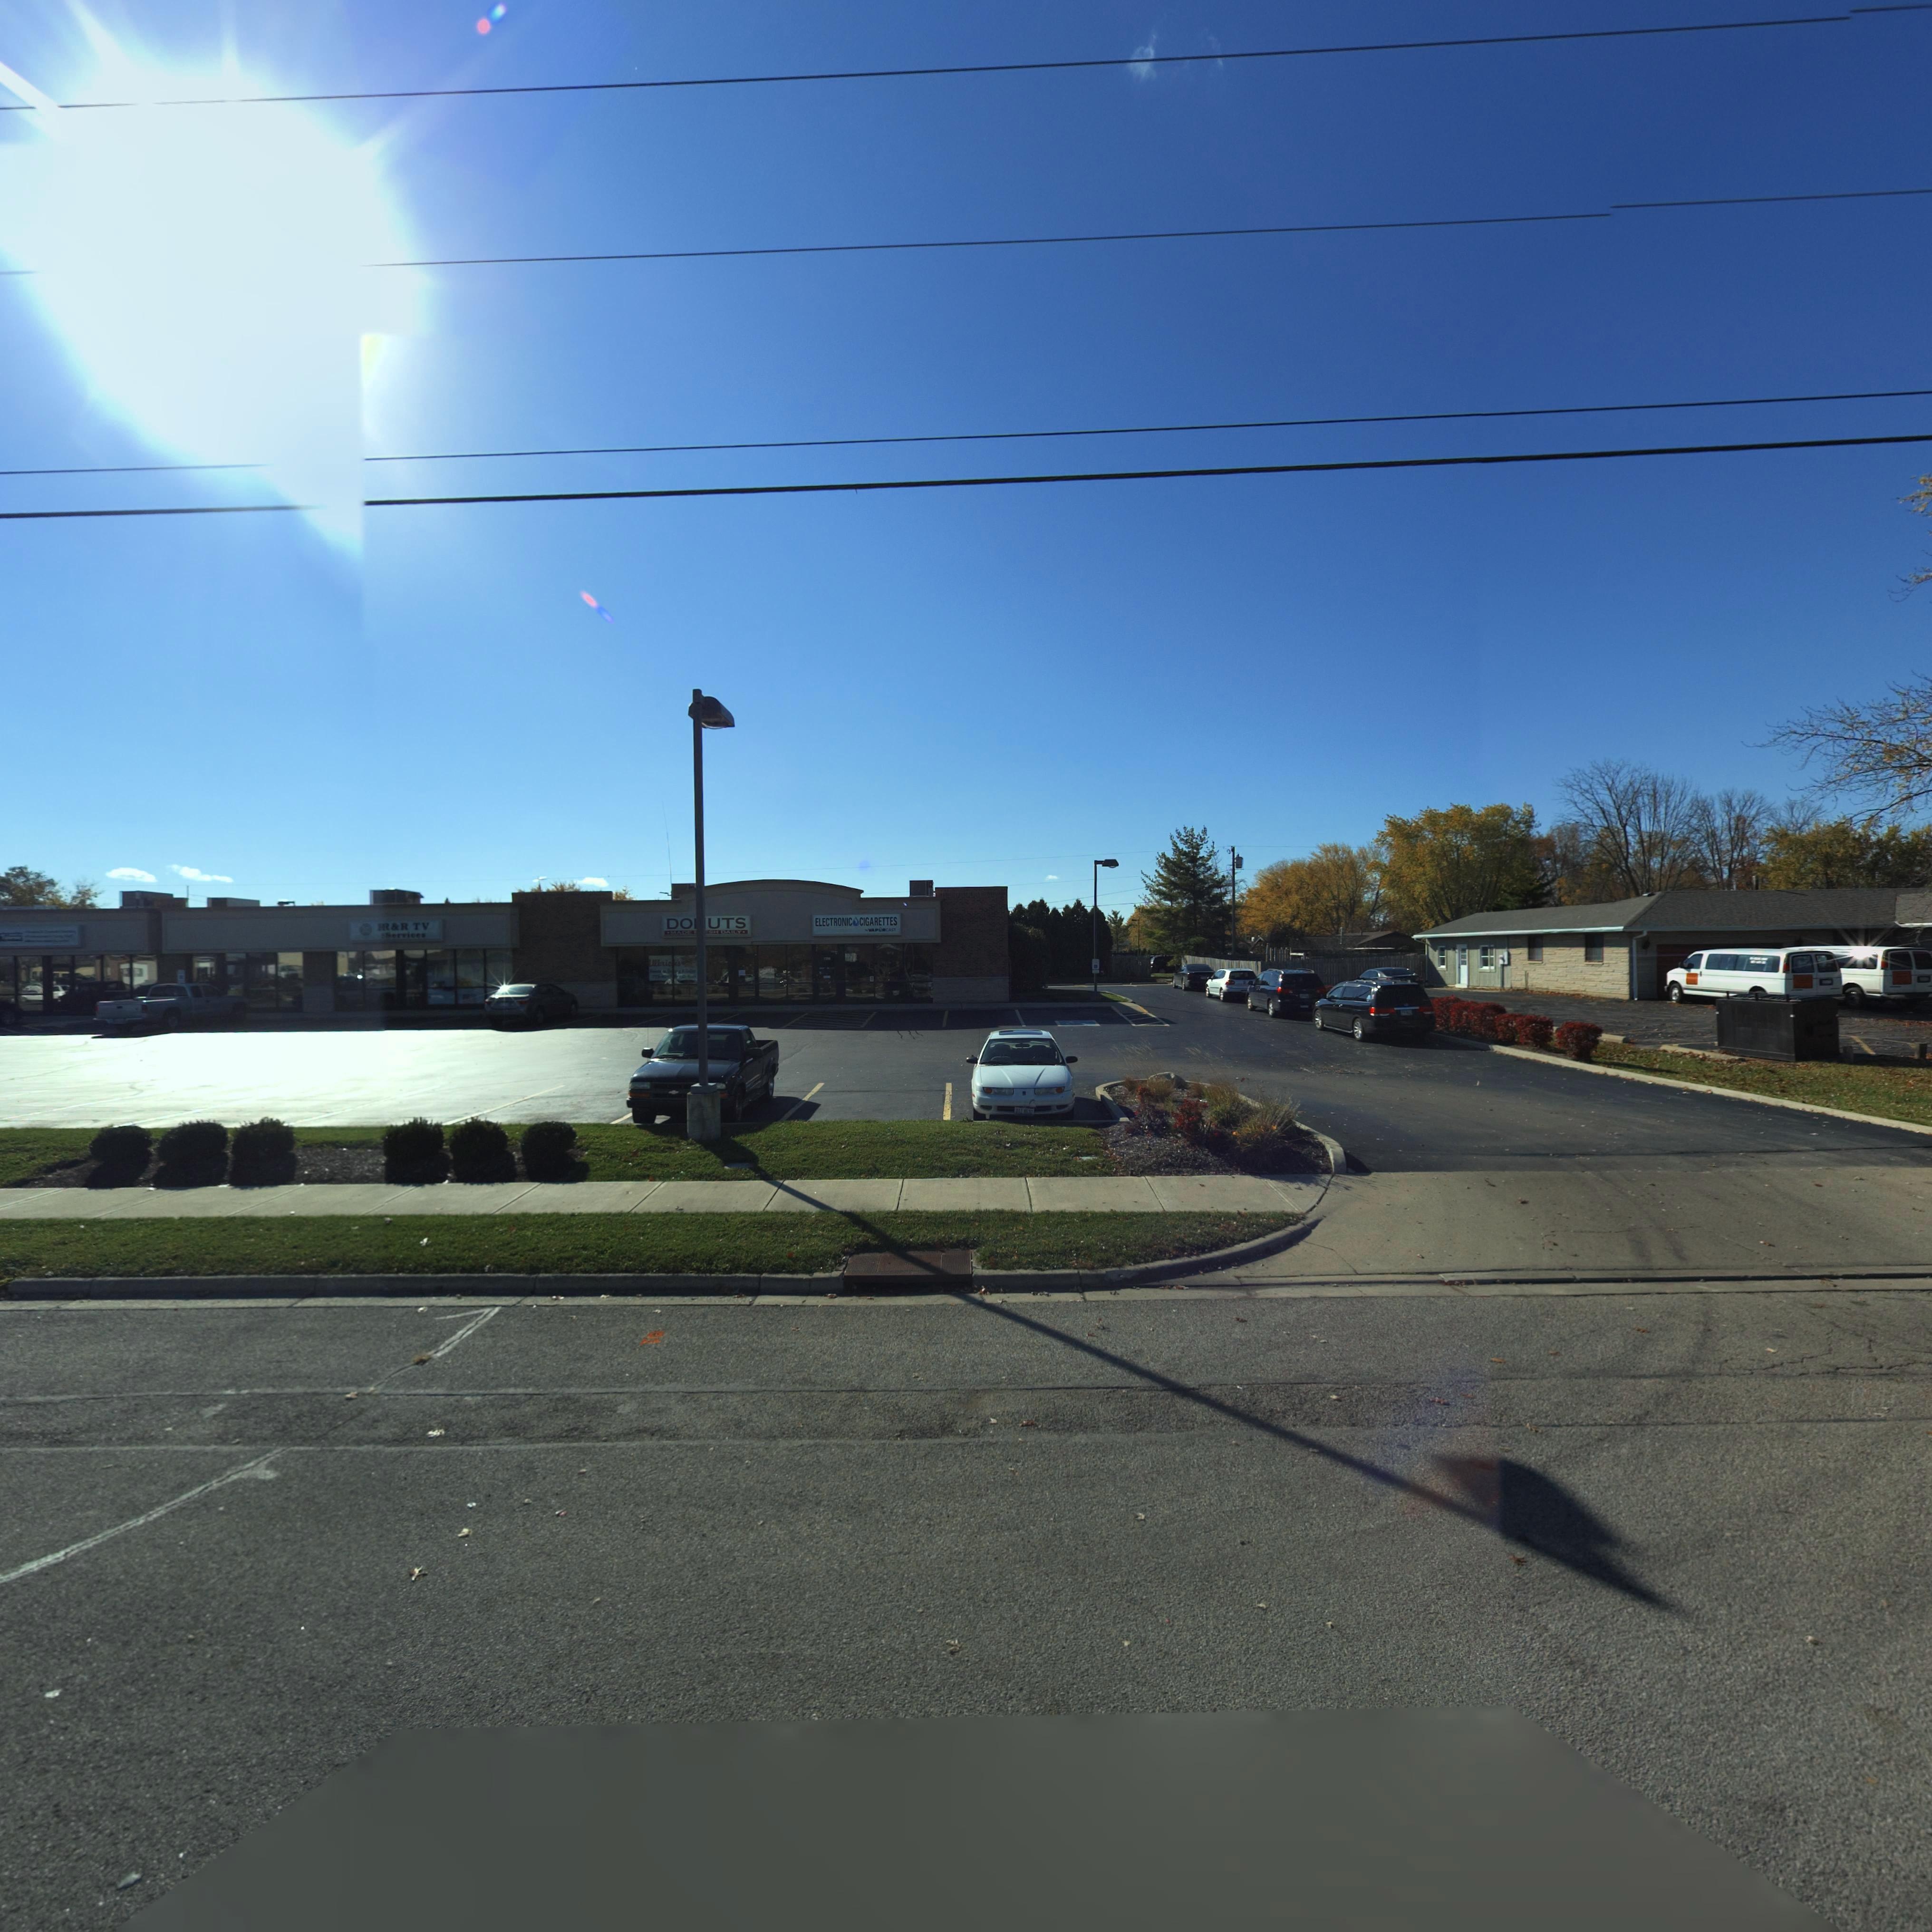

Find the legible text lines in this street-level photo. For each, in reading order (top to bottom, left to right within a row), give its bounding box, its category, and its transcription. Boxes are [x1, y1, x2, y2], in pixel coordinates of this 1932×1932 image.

[381, 922, 431, 931] BusinessName: R&R TV
[666, 917, 747, 930] BusinessName: DO*UTS
[815, 916, 898, 927] BusinessName: ELECTRONIC*CIGARETTES
[386, 931, 427, 939] BusinessName: Services
[823, 957, 831, 960] StreetNumber: 7**0